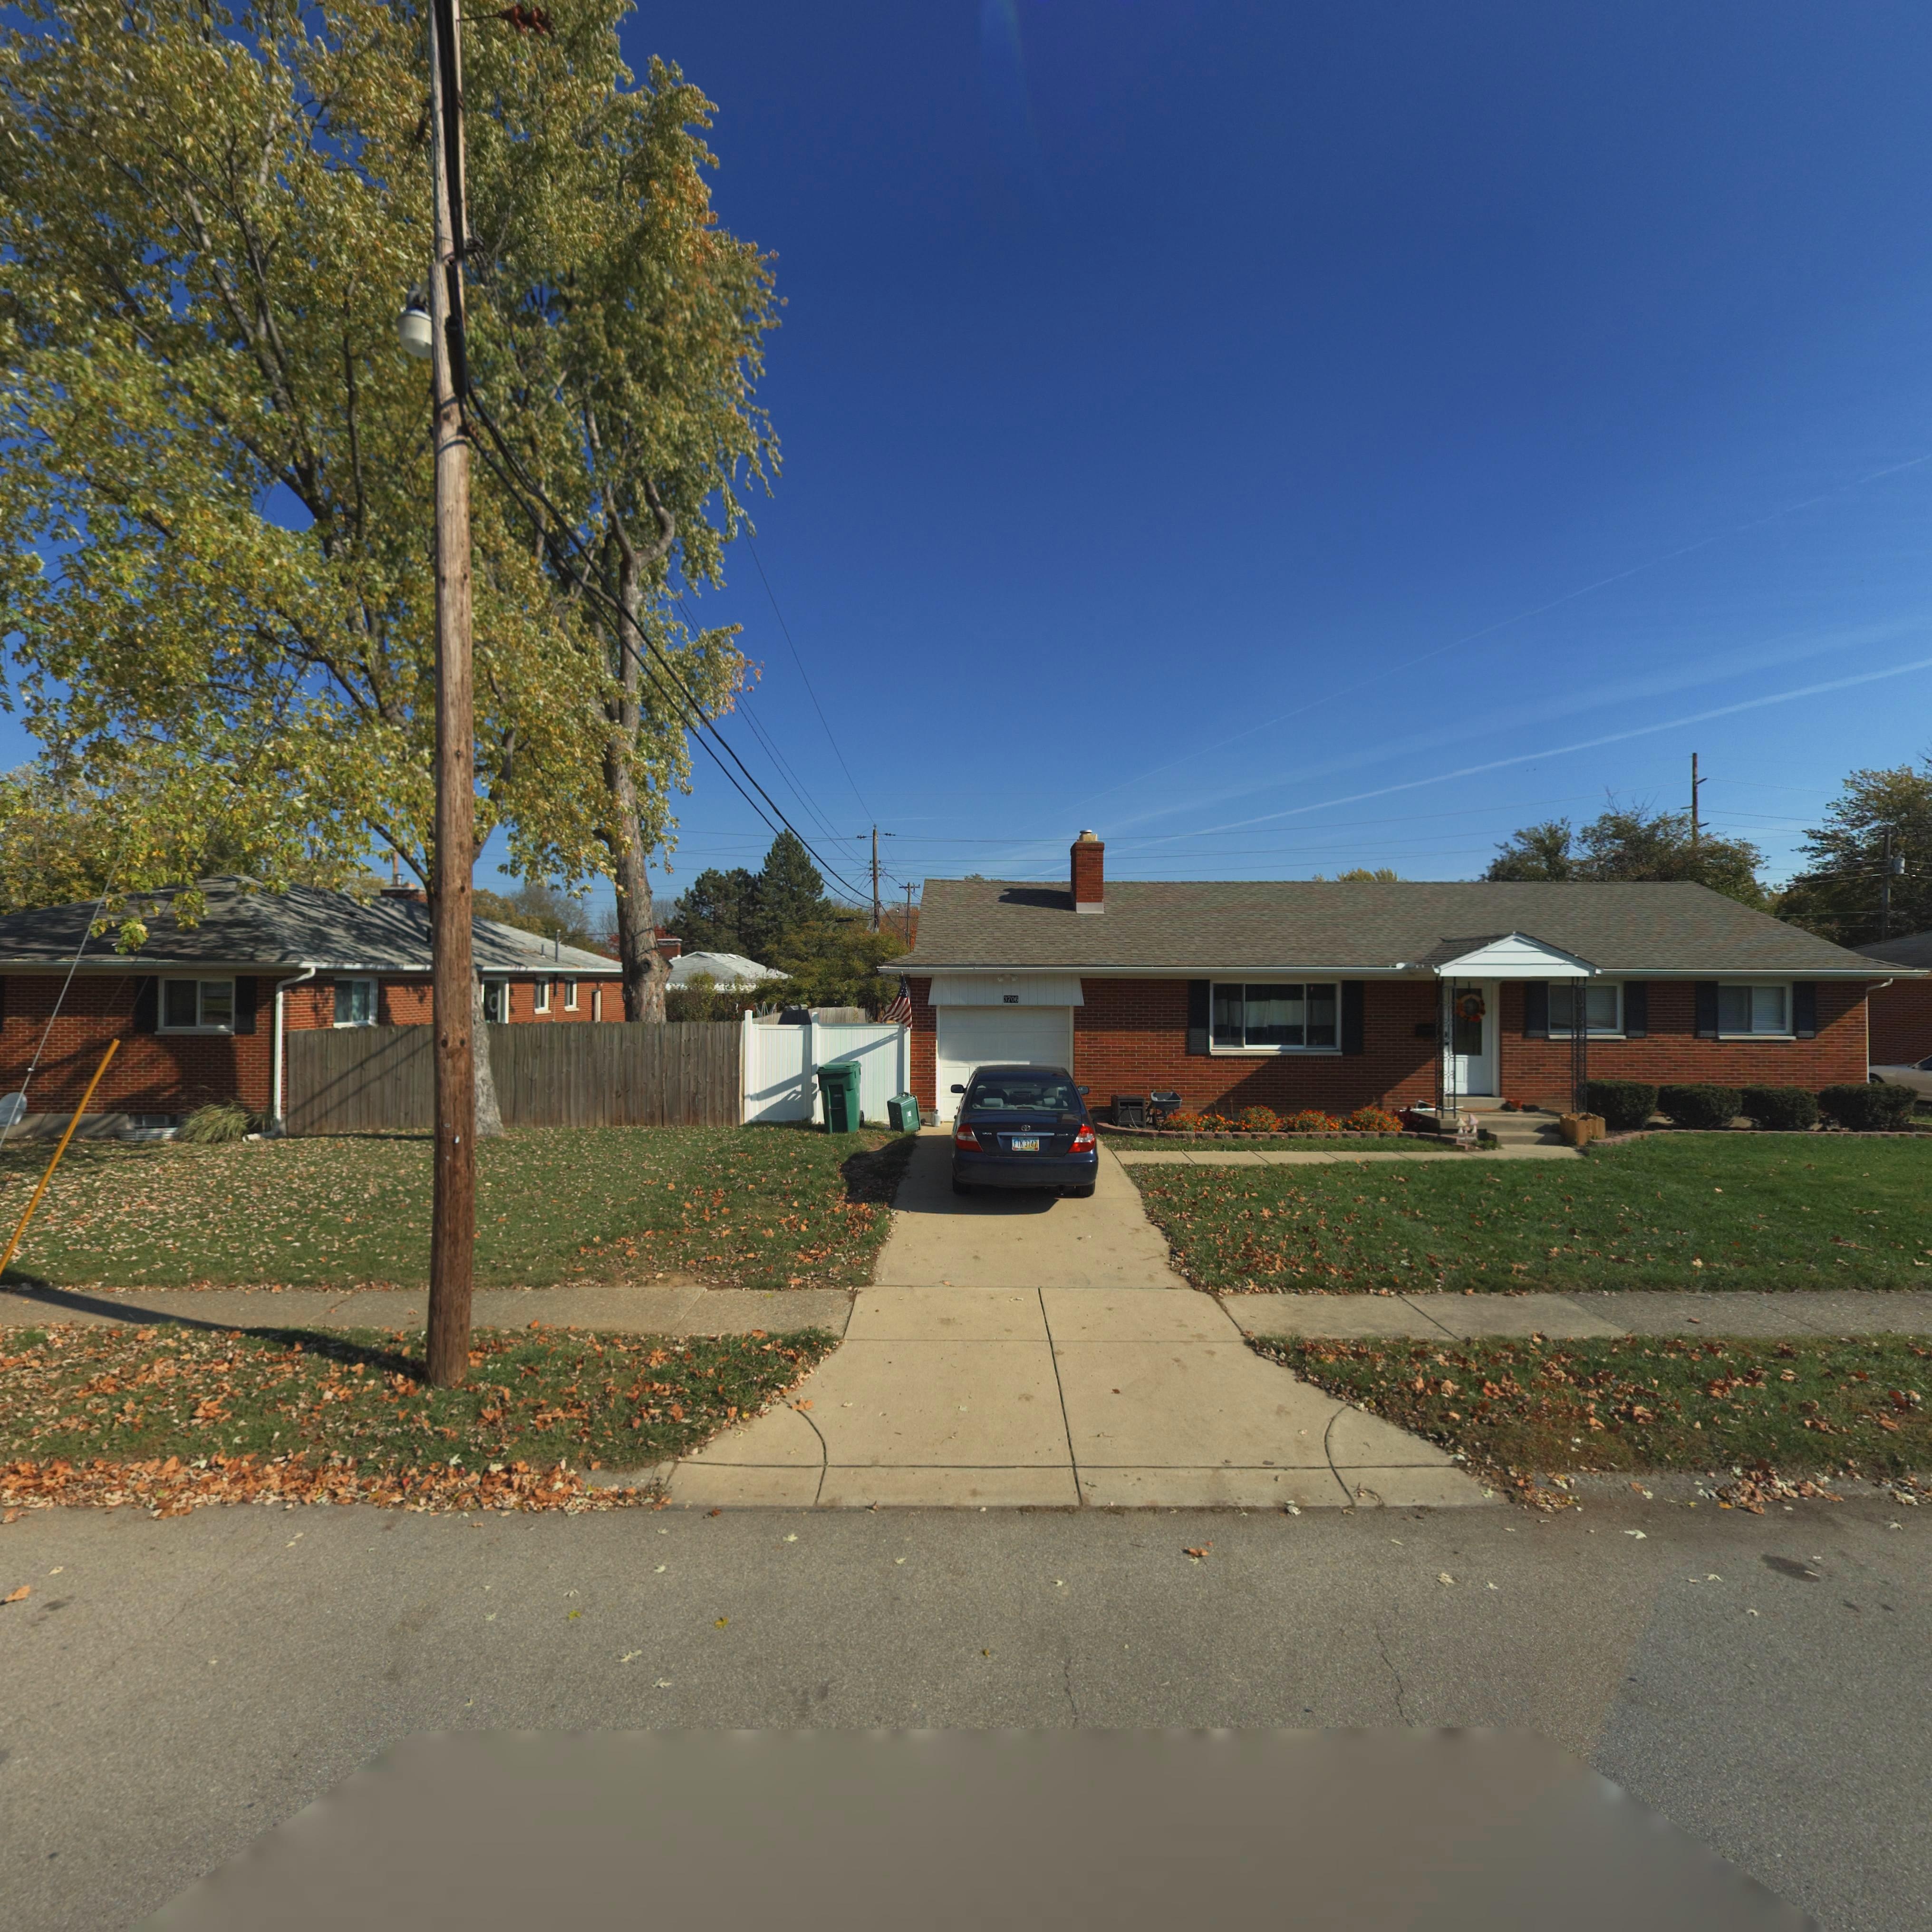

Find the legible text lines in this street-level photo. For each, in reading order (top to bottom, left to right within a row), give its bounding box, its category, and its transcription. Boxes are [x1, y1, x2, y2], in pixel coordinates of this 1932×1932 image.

[1003, 995, 1019, 1003] StreetNumber: 3706